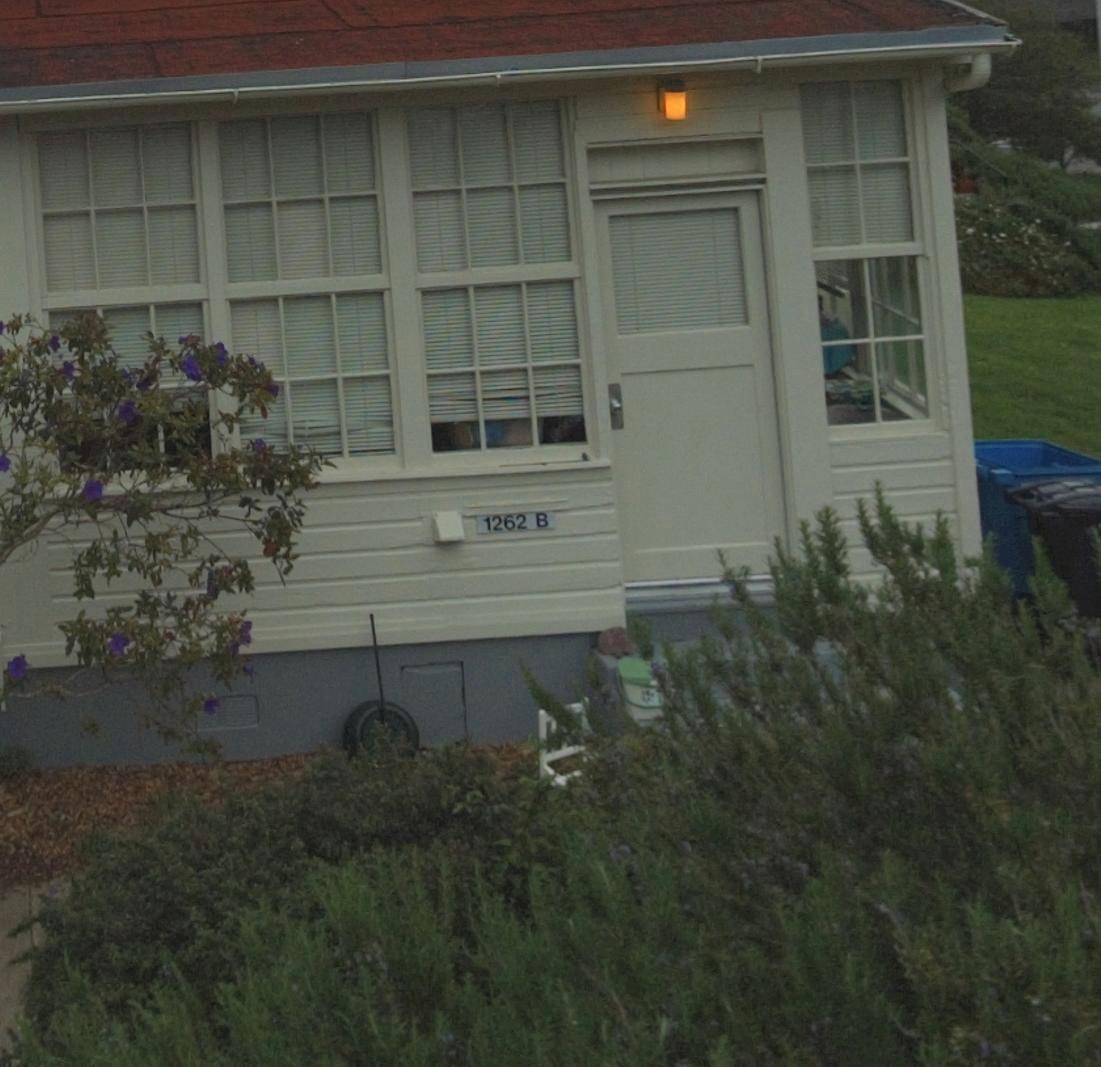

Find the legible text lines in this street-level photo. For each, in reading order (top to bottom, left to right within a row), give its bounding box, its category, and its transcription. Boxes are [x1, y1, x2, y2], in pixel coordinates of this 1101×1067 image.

[482, 510, 552, 534] StreetNumber: 1262 B